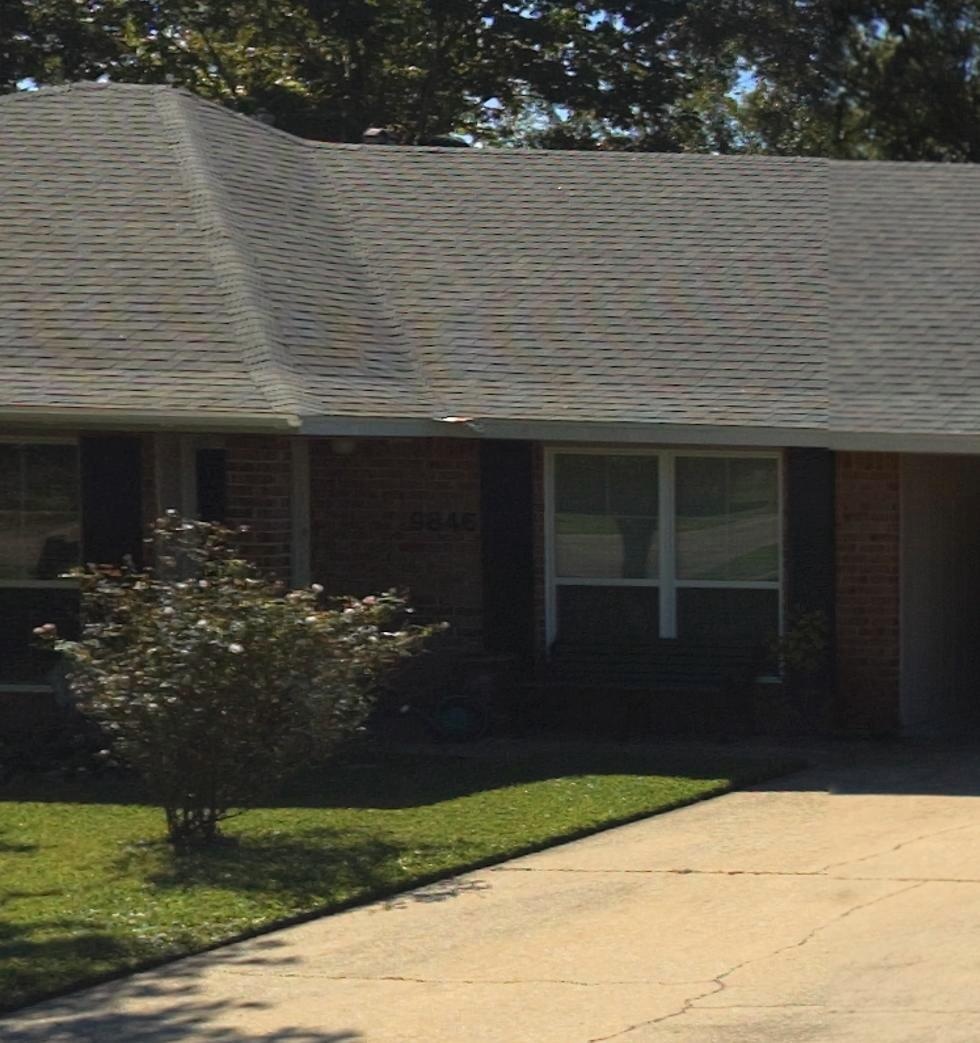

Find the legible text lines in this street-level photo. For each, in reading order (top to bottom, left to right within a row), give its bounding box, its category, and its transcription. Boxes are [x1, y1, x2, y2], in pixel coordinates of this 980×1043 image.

[408, 510, 478, 531] StreetNumber: 9846